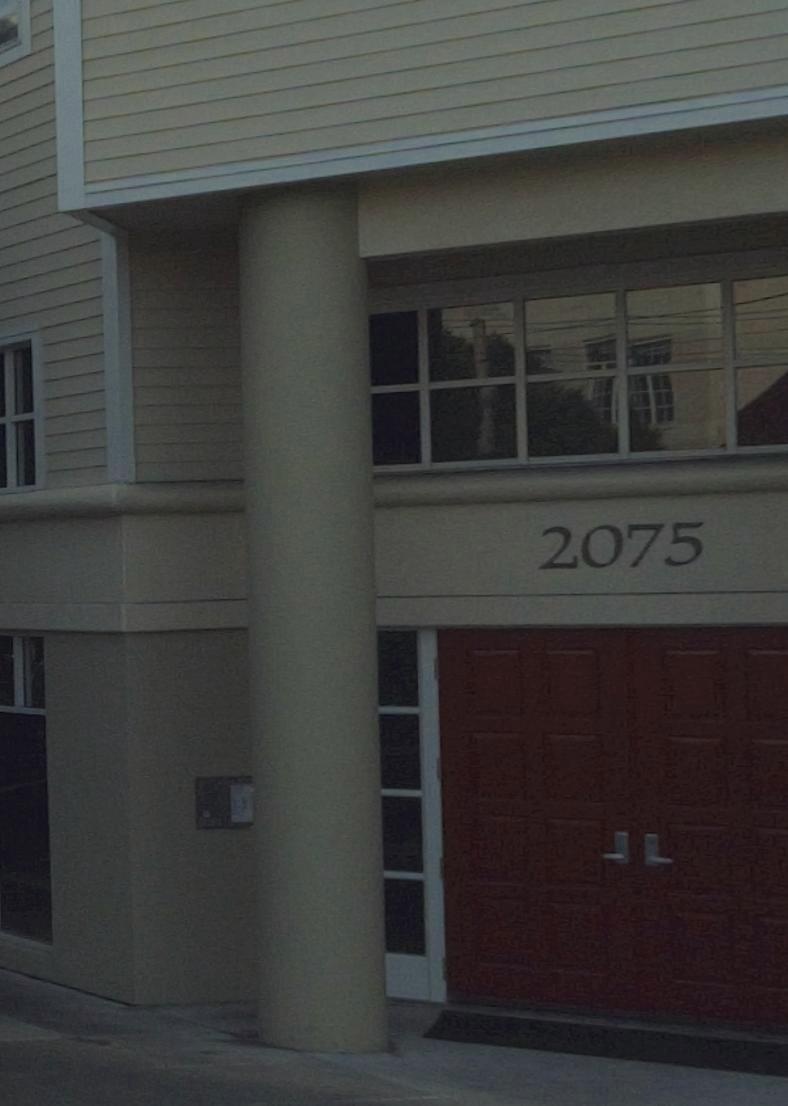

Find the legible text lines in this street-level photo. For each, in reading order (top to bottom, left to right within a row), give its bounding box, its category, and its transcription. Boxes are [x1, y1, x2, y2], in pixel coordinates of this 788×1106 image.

[534, 518, 709, 573] StreetNumber: 2075